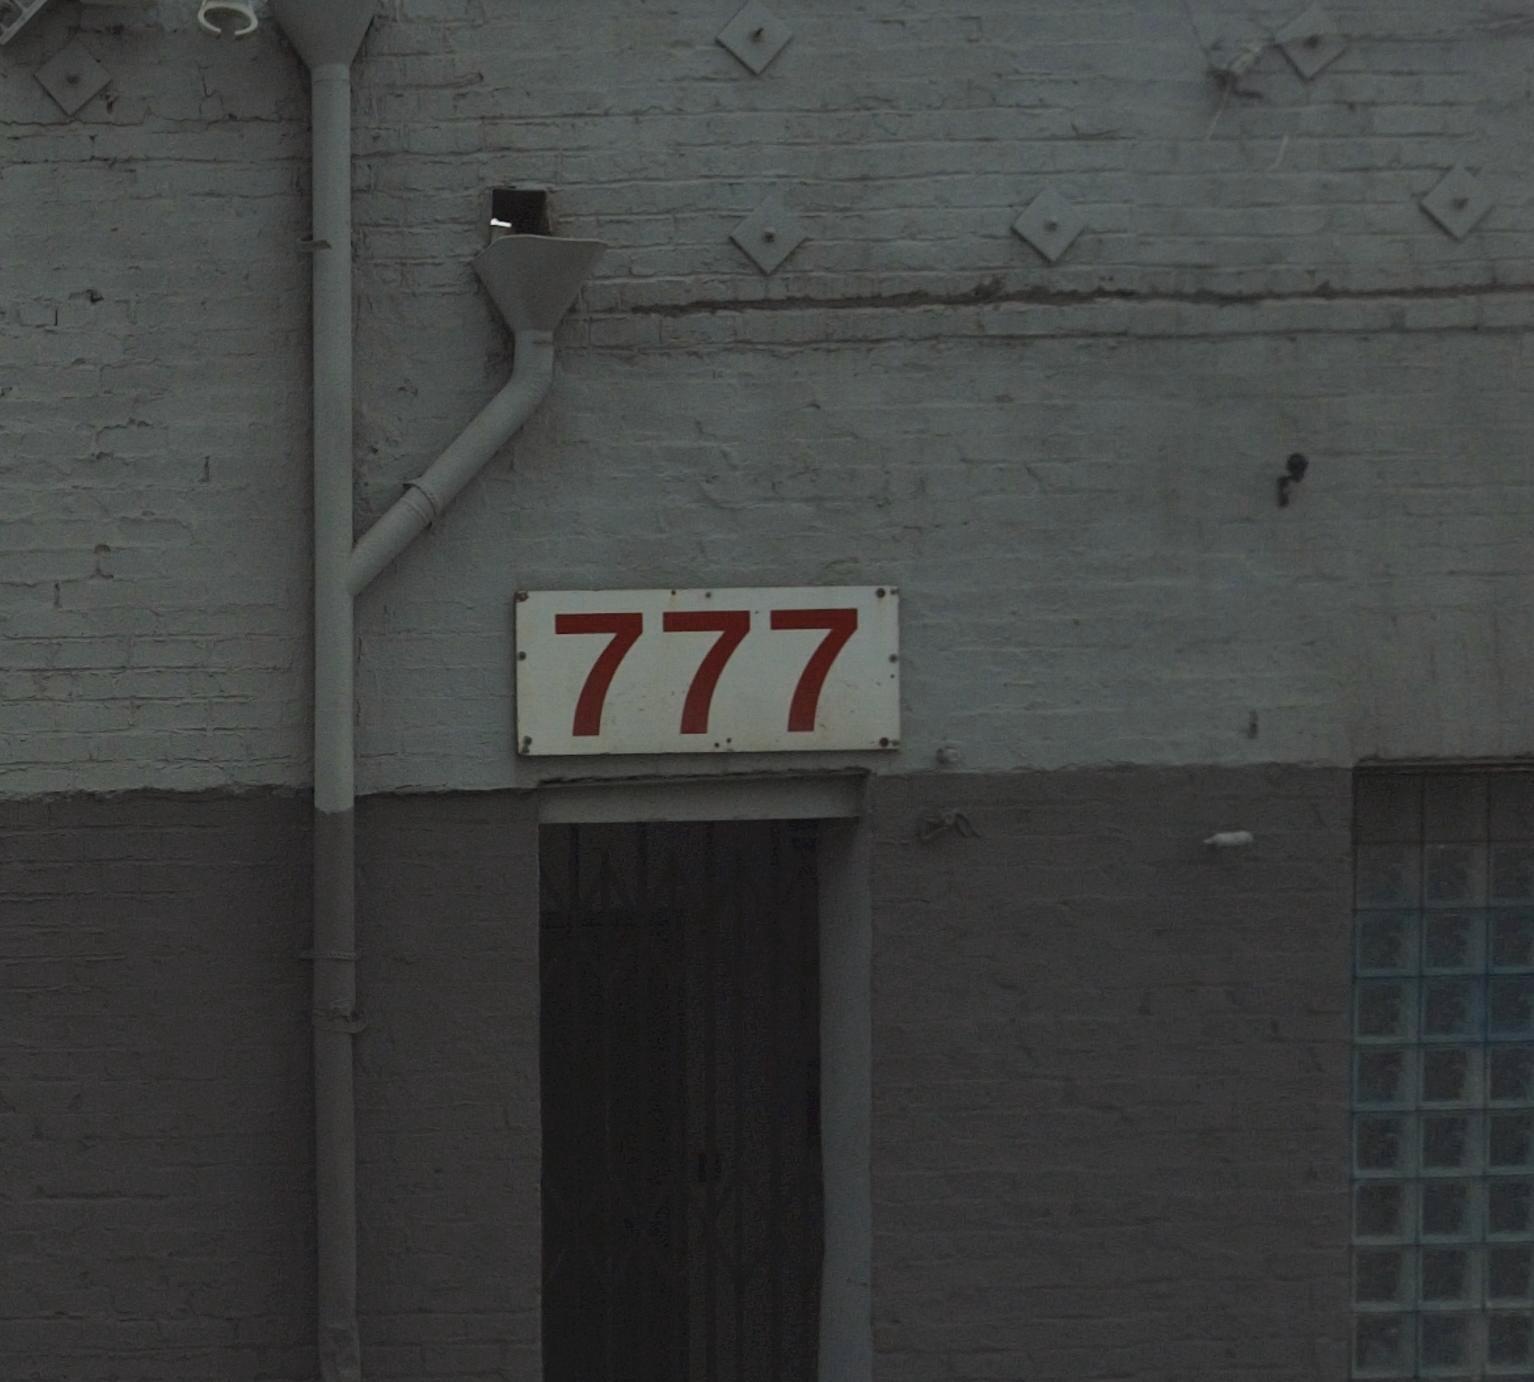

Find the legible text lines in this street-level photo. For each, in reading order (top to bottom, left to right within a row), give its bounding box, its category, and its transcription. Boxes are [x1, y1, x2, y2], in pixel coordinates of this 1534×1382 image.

[549, 602, 863, 741] StreetNumber: 777